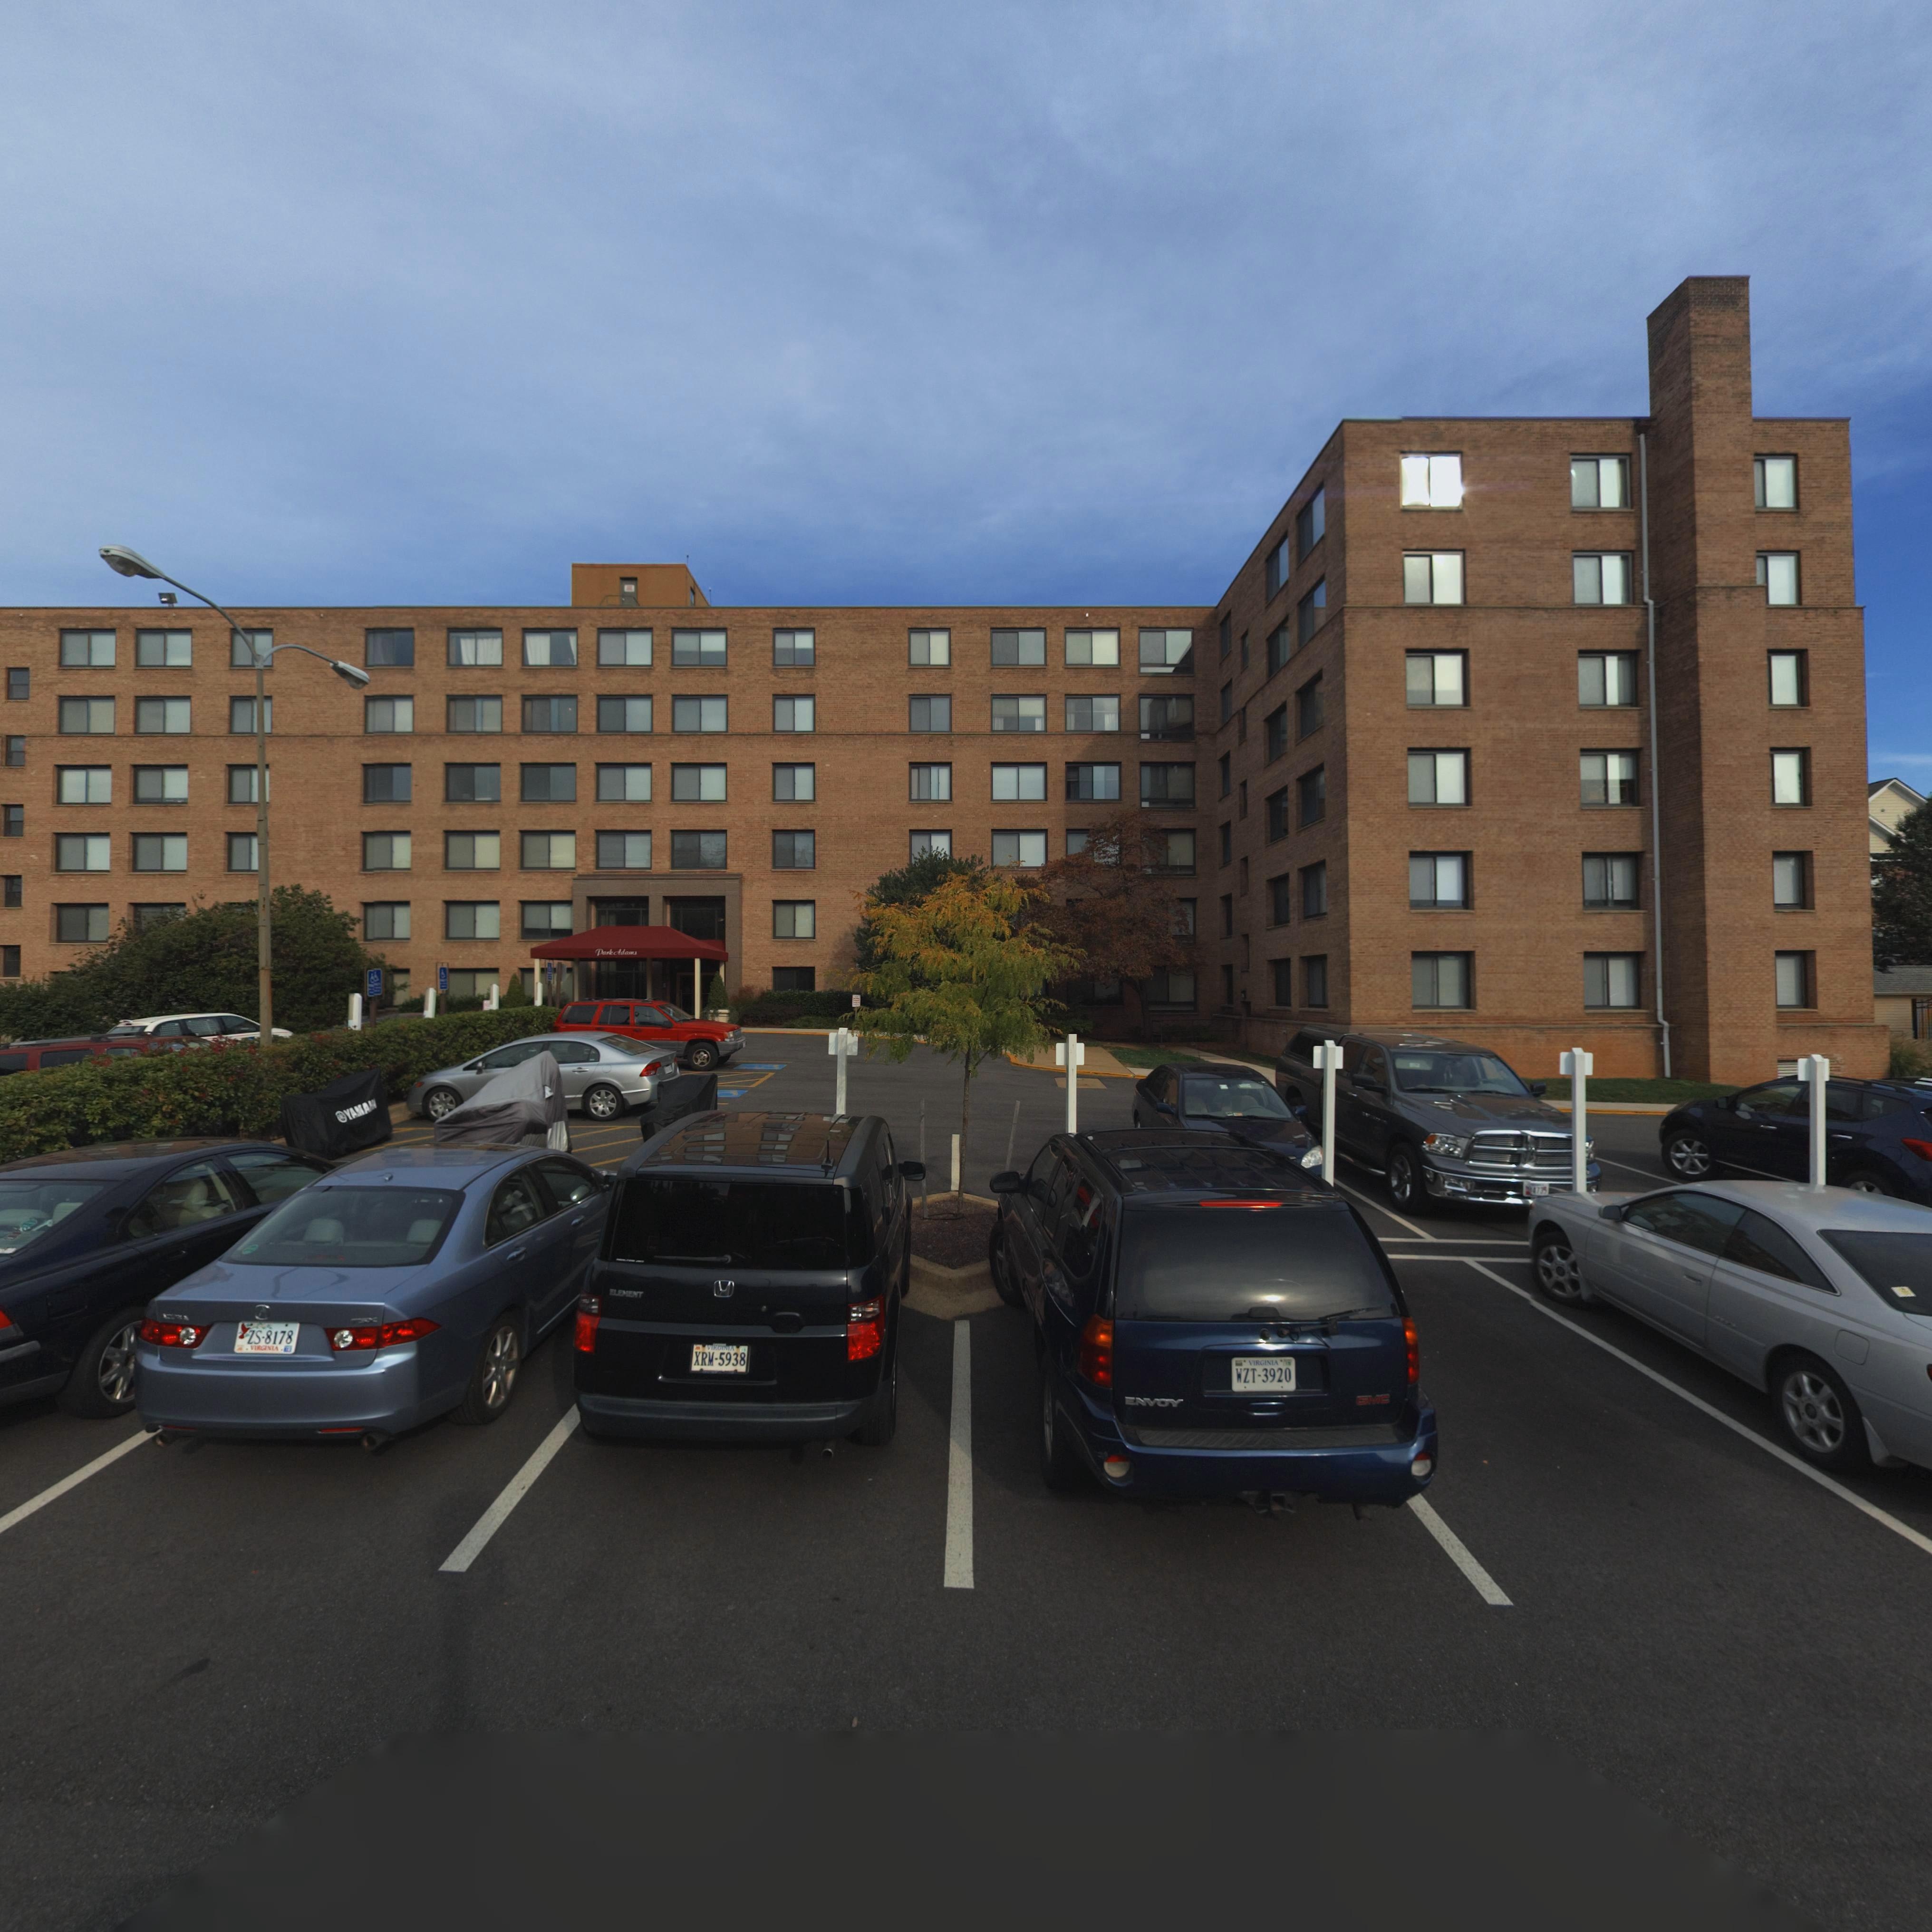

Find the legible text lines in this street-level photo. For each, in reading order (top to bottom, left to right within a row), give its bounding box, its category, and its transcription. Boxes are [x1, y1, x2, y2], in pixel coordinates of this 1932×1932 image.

[592, 947, 639, 958] BusinessName: Park Ada*s
[341, 1101, 373, 1122] None: YAMA
[1533, 1186, 1547, 1194] None: 4735
[609, 1288, 644, 1299] None: ELEMENT
[162, 1313, 190, 1322] None: ACURA
[245, 1330, 294, 1344] None: ZS-8178
[250, 1345, 280, 1352] None: VIRGINIA
[705, 1343, 734, 1351] None: VIRGINIA
[693, 1351, 746, 1366] None: XRM-5938
[1247, 1360, 1280, 1366] None: VIRGINIA
[1234, 1367, 1293, 1383] None: WZT-3920
[1124, 1395, 1185, 1408] None: ENVOY
[1355, 1392, 1391, 1407] None: GMC